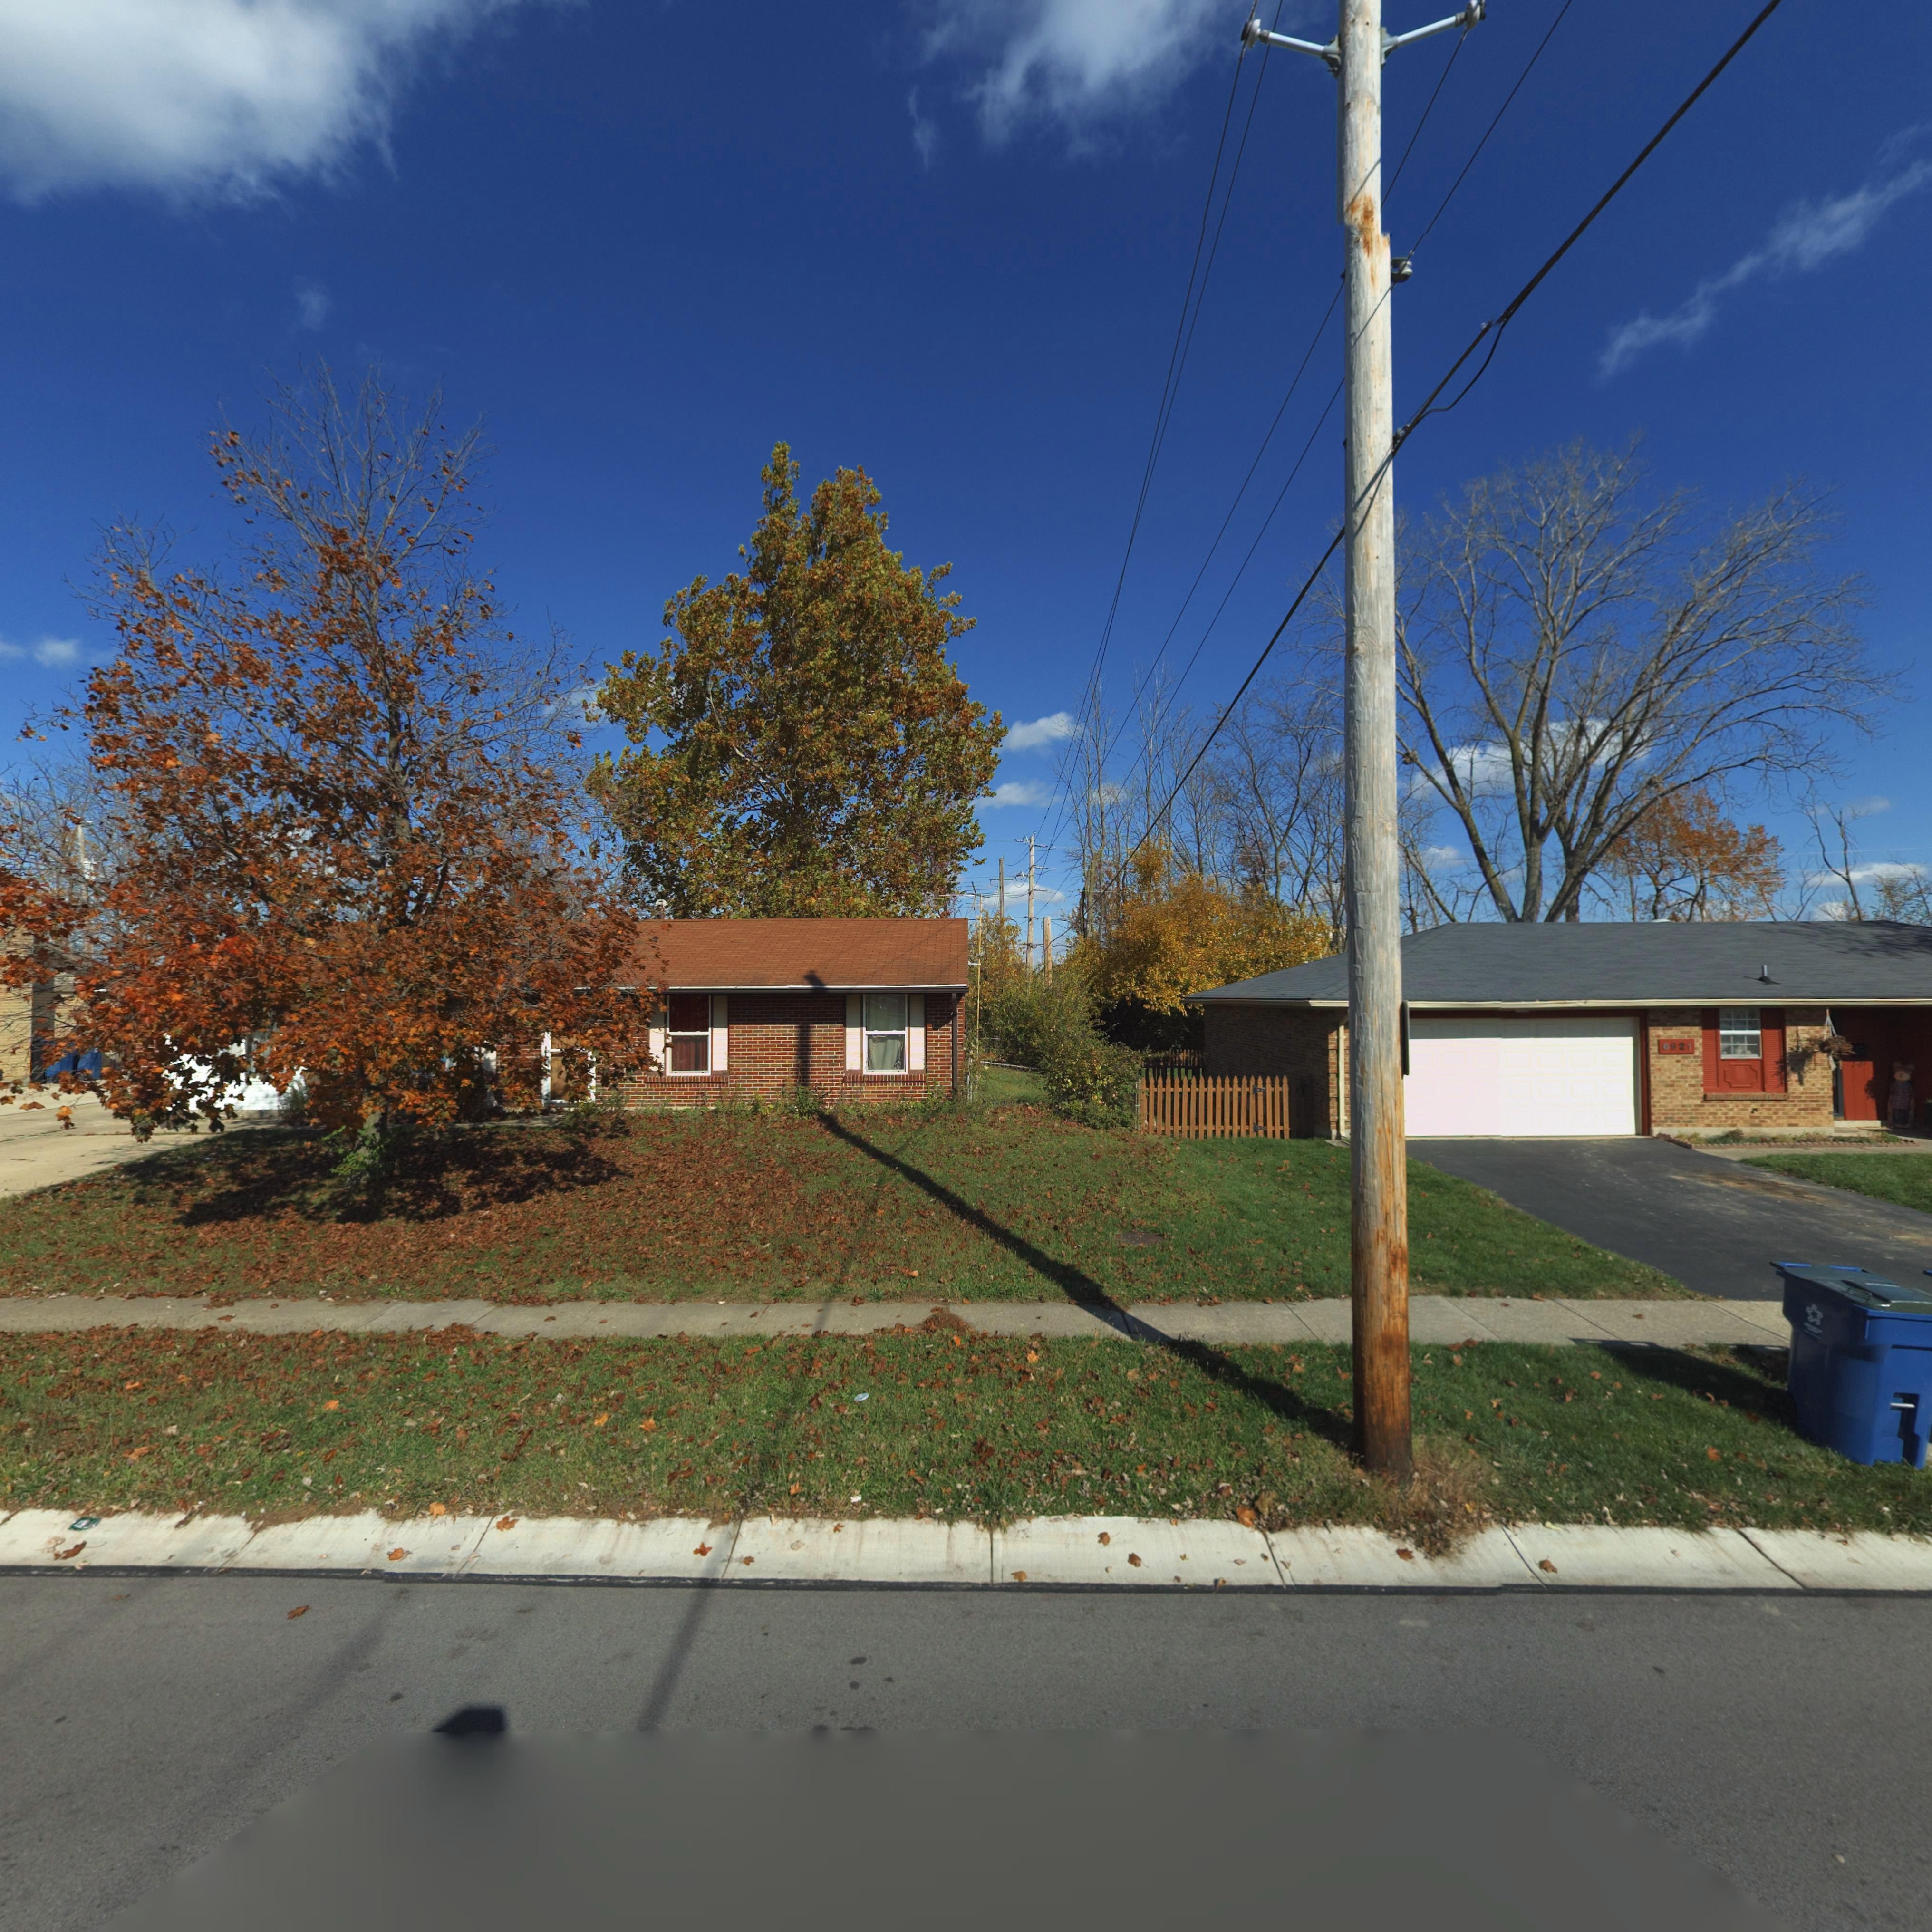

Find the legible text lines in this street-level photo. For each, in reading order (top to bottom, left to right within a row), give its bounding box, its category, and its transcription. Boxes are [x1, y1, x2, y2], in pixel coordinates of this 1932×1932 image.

[1661, 1041, 1693, 1052] StreetNumber: 6921